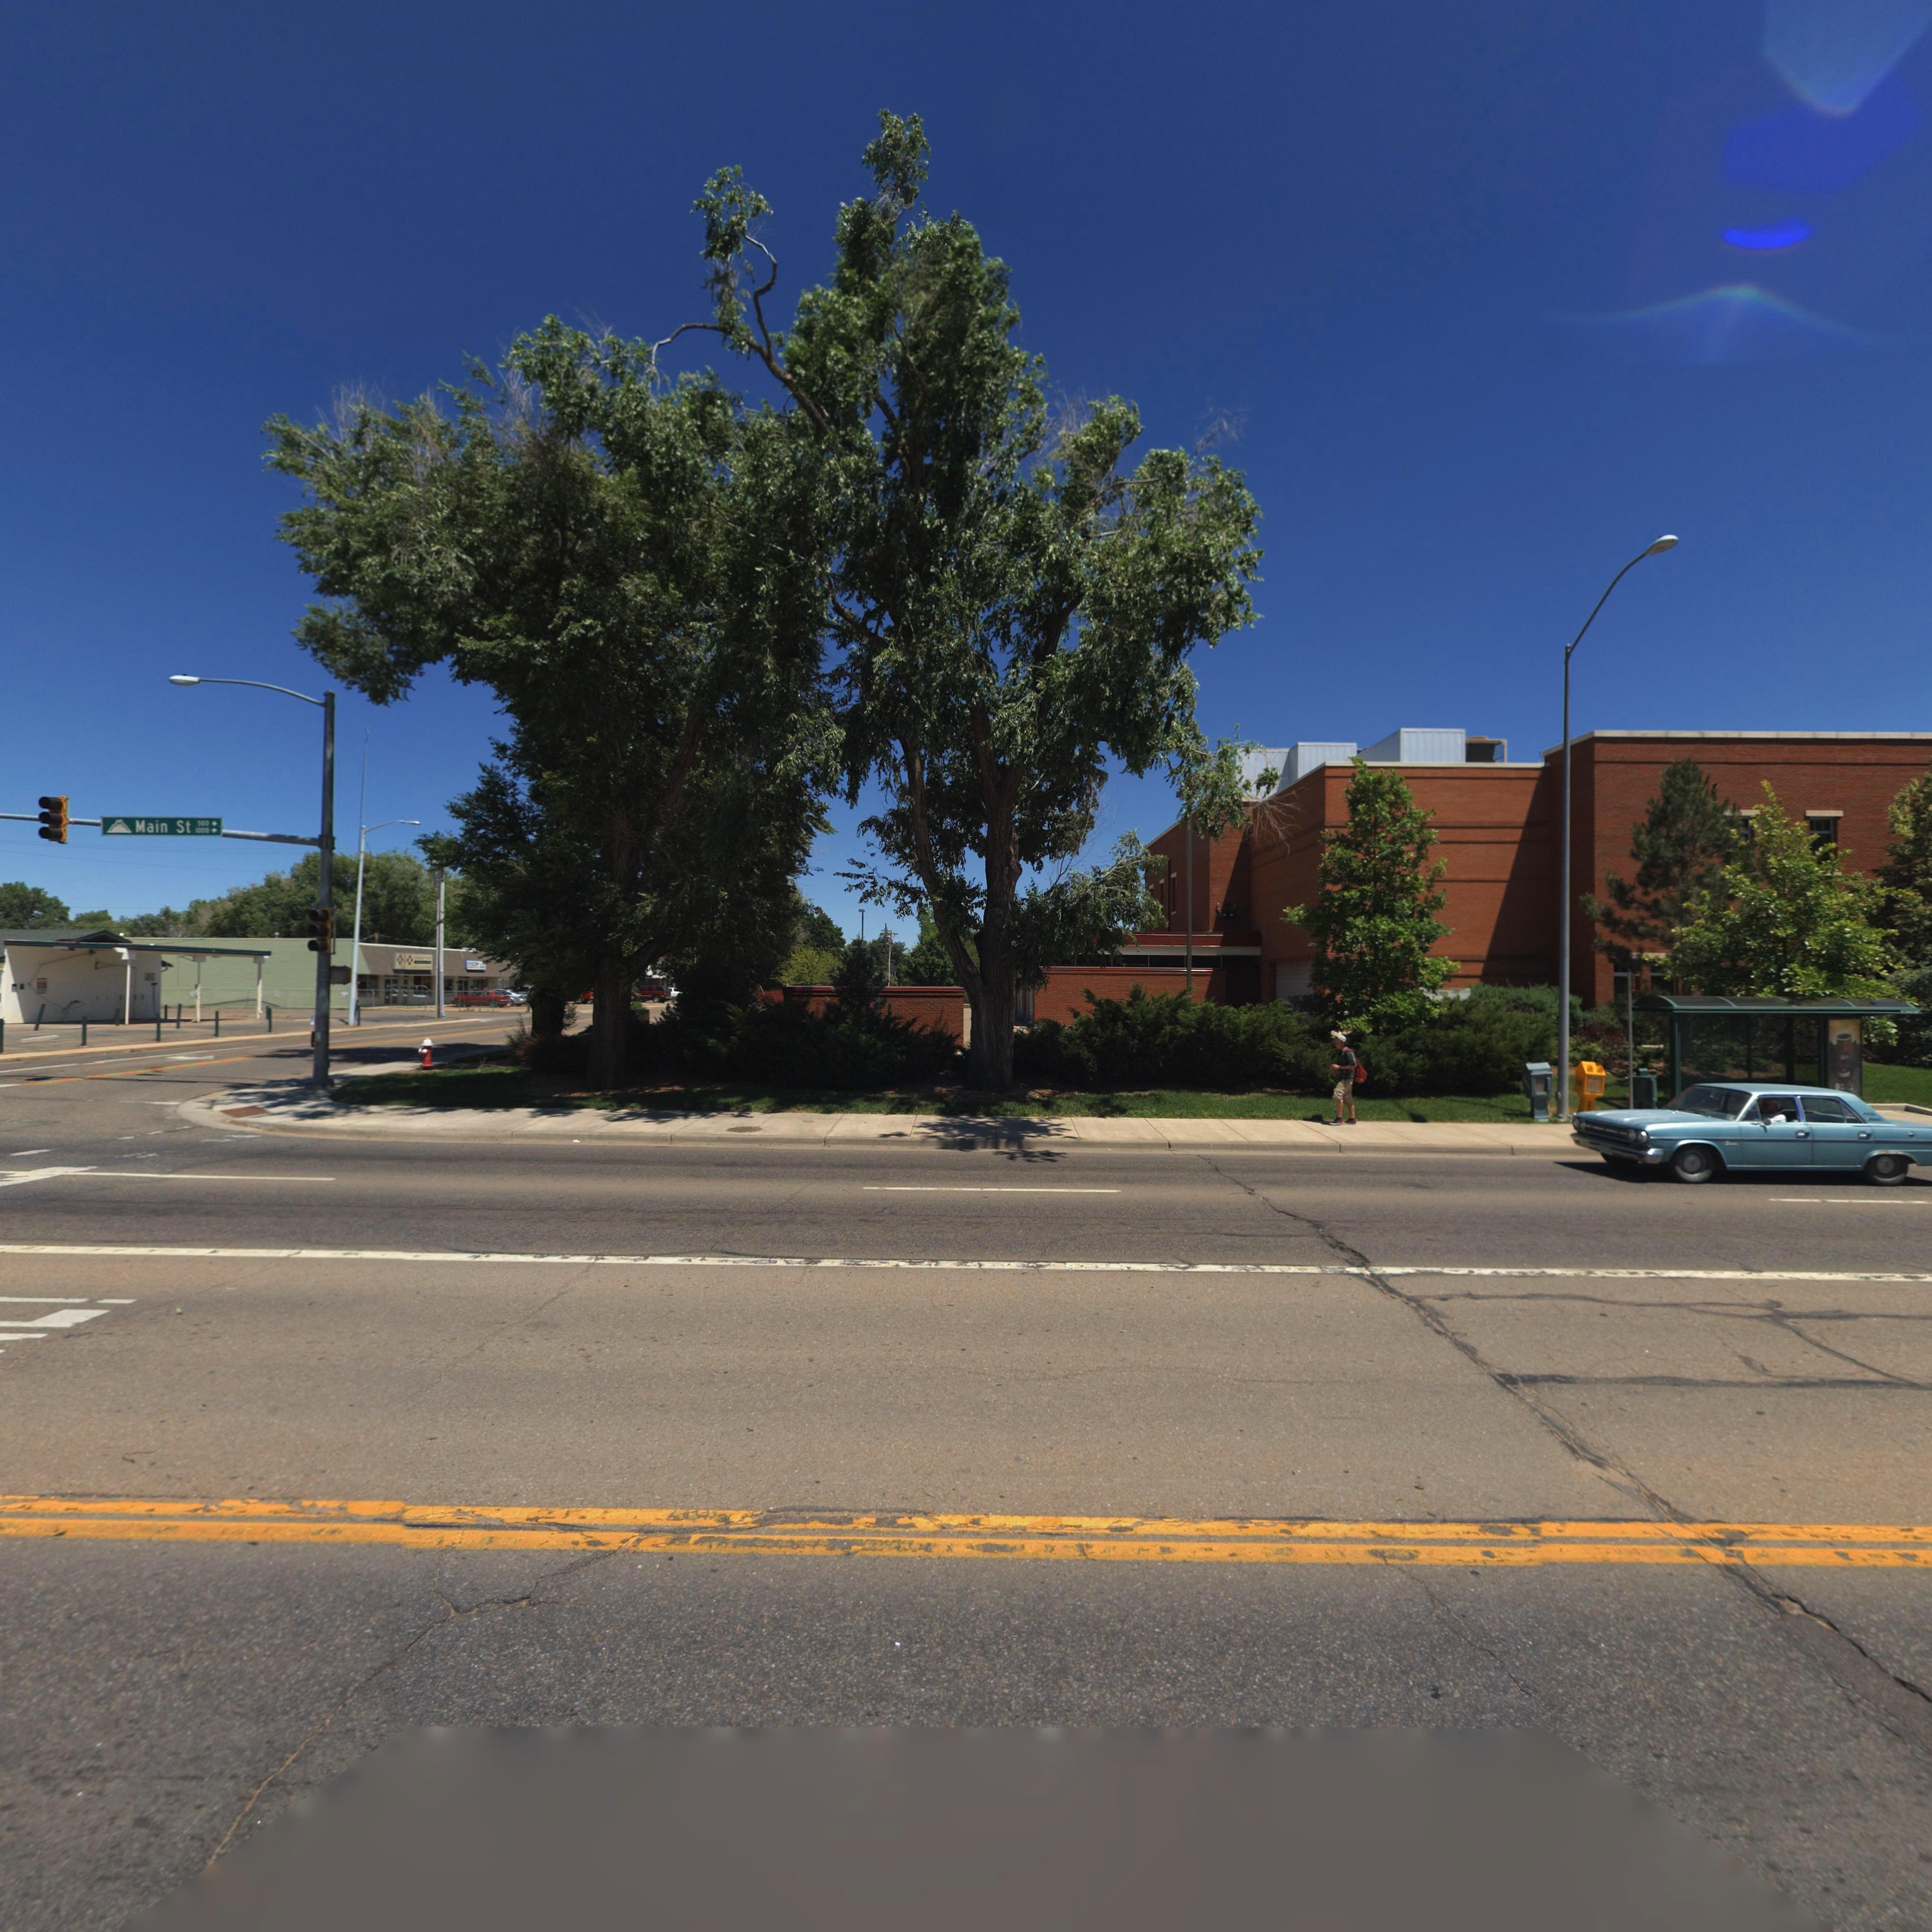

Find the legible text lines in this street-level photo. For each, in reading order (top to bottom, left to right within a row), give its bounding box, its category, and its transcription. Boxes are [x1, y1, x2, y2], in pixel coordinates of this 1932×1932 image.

[135, 819, 192, 833] StreetName: Main St
[196, 820, 210, 827] StreetNumberRange: 500
[194, 827, 218, 833] StreetNumberRange: 1000 ->